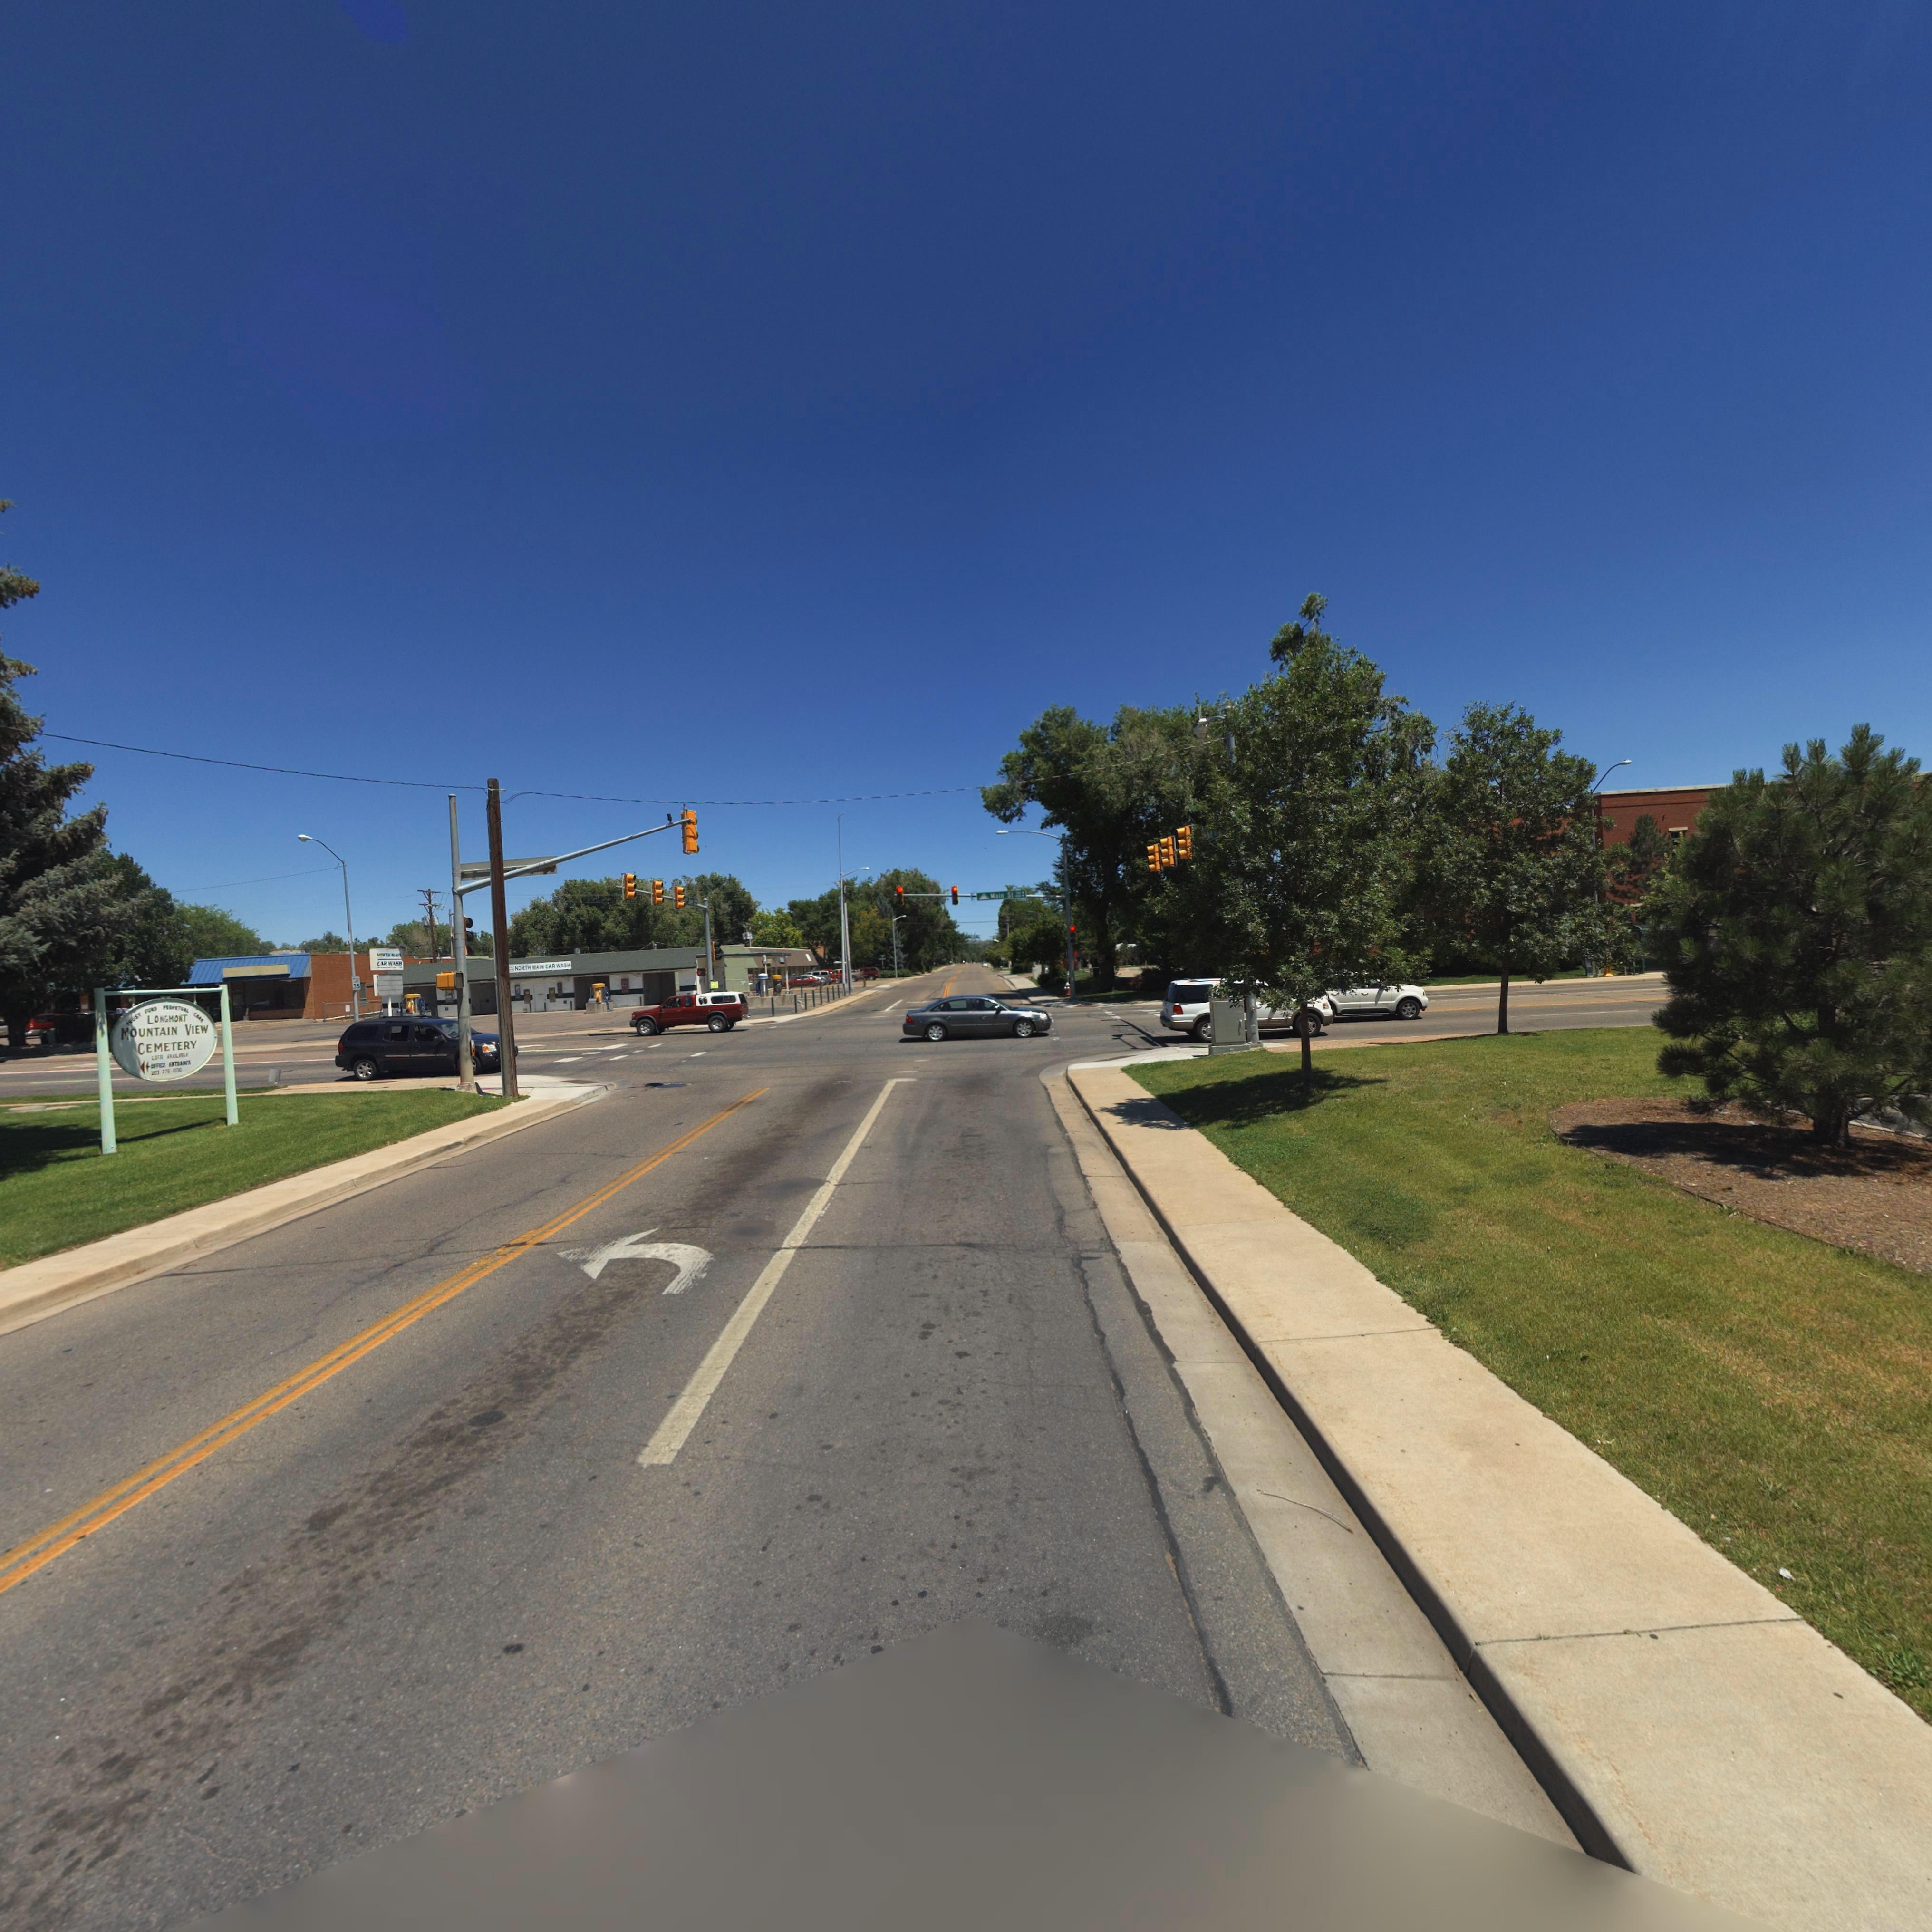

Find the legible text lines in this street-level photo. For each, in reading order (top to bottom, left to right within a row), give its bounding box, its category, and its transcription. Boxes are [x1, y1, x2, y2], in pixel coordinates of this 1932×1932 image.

[990, 891, 1014, 898] StreetName: Main St
[1015, 891, 1021, 894] StreetNumberRange: 500
[1014, 894, 1024, 897] StreetNumberRange: 1000 ->
[377, 952, 402, 957] BusinessName: NORTH MAI*
[377, 960, 402, 966] BusinessName: CAR WASH
[515, 962, 570, 970] BusinessName: NORTH MAIN CAR WASH
[147, 1014, 188, 1024] BusinessName: LONGMONT
[121, 1024, 209, 1041] BusinessName: MOUNTAIN VIEW
[136, 1040, 197, 1055] BusinessName: CEMETERY